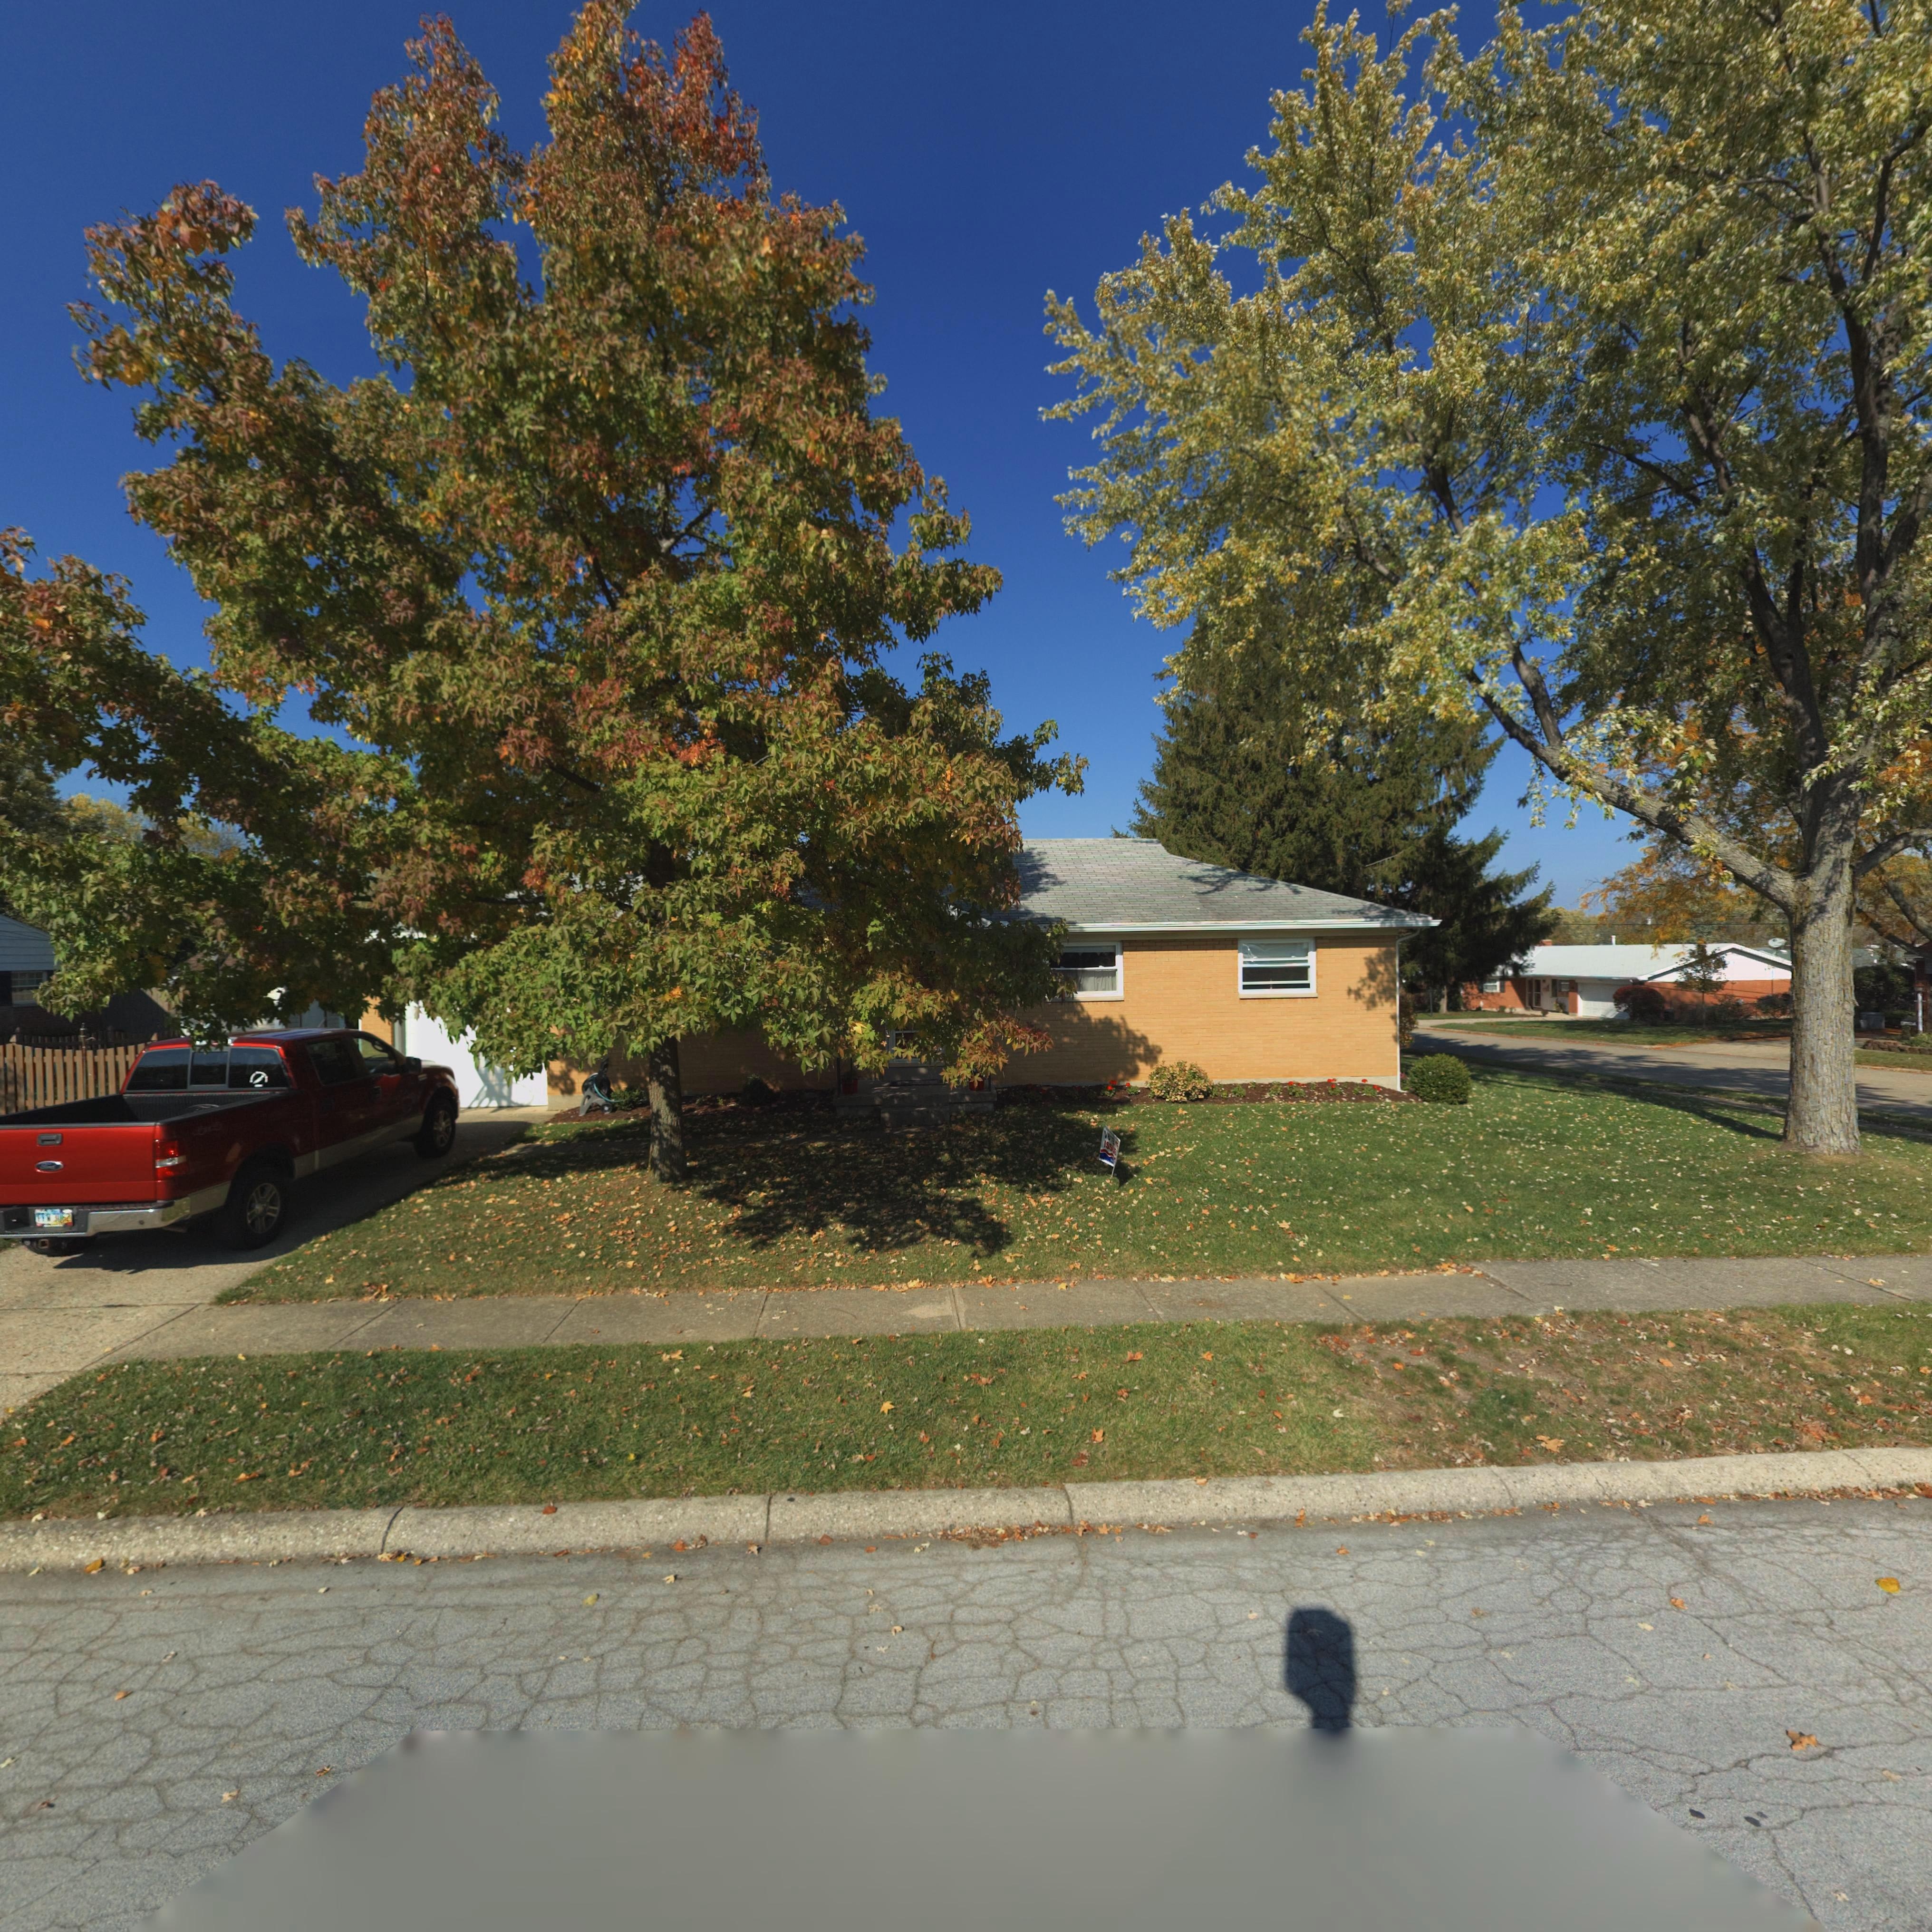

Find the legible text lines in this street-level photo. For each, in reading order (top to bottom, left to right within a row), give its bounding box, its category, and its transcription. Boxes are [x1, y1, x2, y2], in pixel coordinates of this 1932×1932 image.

[1103, 1129, 1110, 1140] None: V
[1103, 1140, 1113, 1153] None: ISS
[52, 1212, 71, 1222] None: 3*62